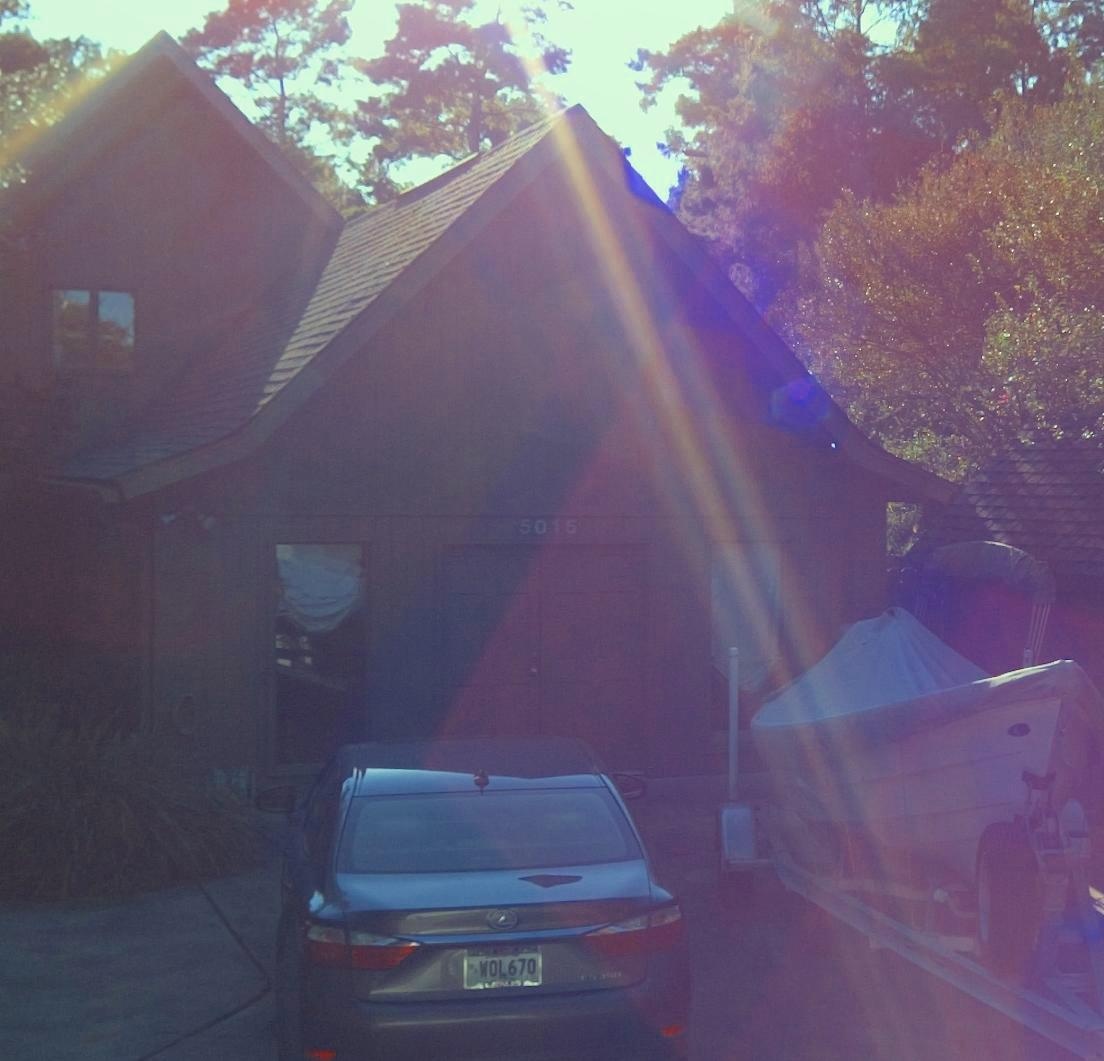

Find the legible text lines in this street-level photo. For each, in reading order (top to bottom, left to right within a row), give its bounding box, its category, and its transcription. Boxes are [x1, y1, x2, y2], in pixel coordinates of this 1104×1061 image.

[515, 516, 579, 537] StreetNumber: 5015
[476, 954, 539, 982] None: WOL670